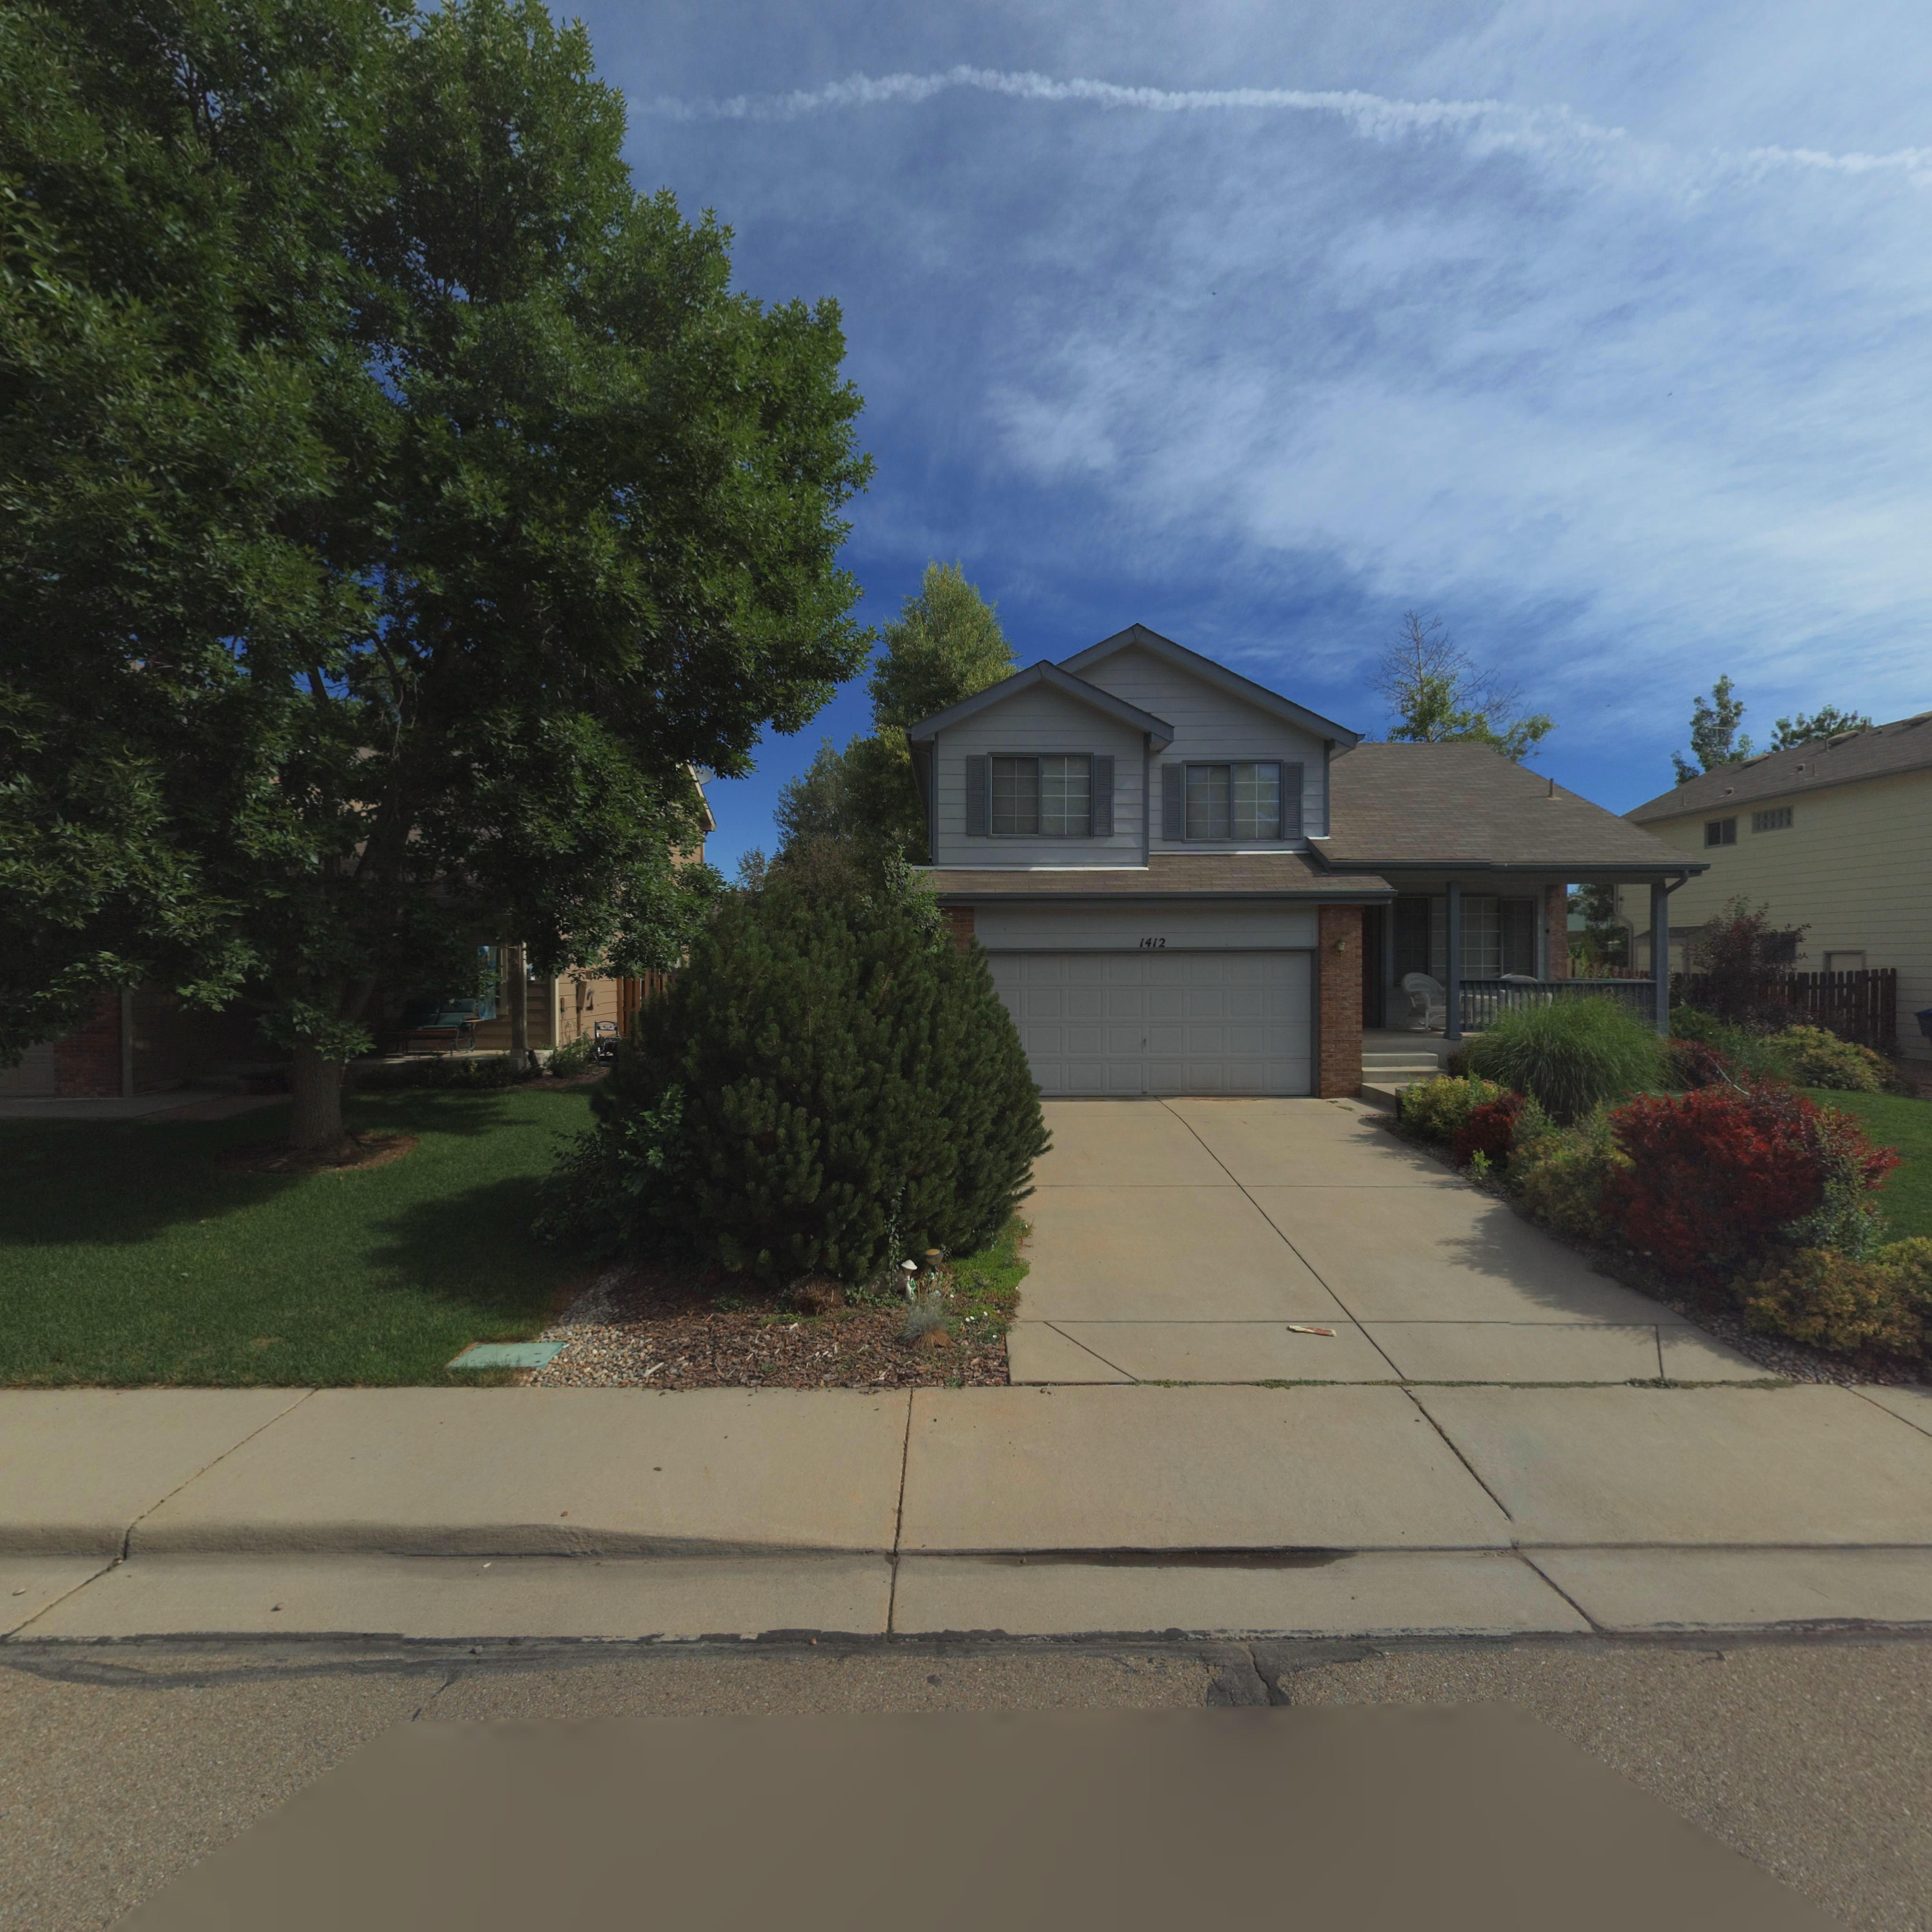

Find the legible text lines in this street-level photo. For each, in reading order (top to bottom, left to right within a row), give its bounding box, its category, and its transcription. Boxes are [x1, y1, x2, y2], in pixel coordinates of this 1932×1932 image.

[1140, 937, 1166, 947] StreetNumber: 1412